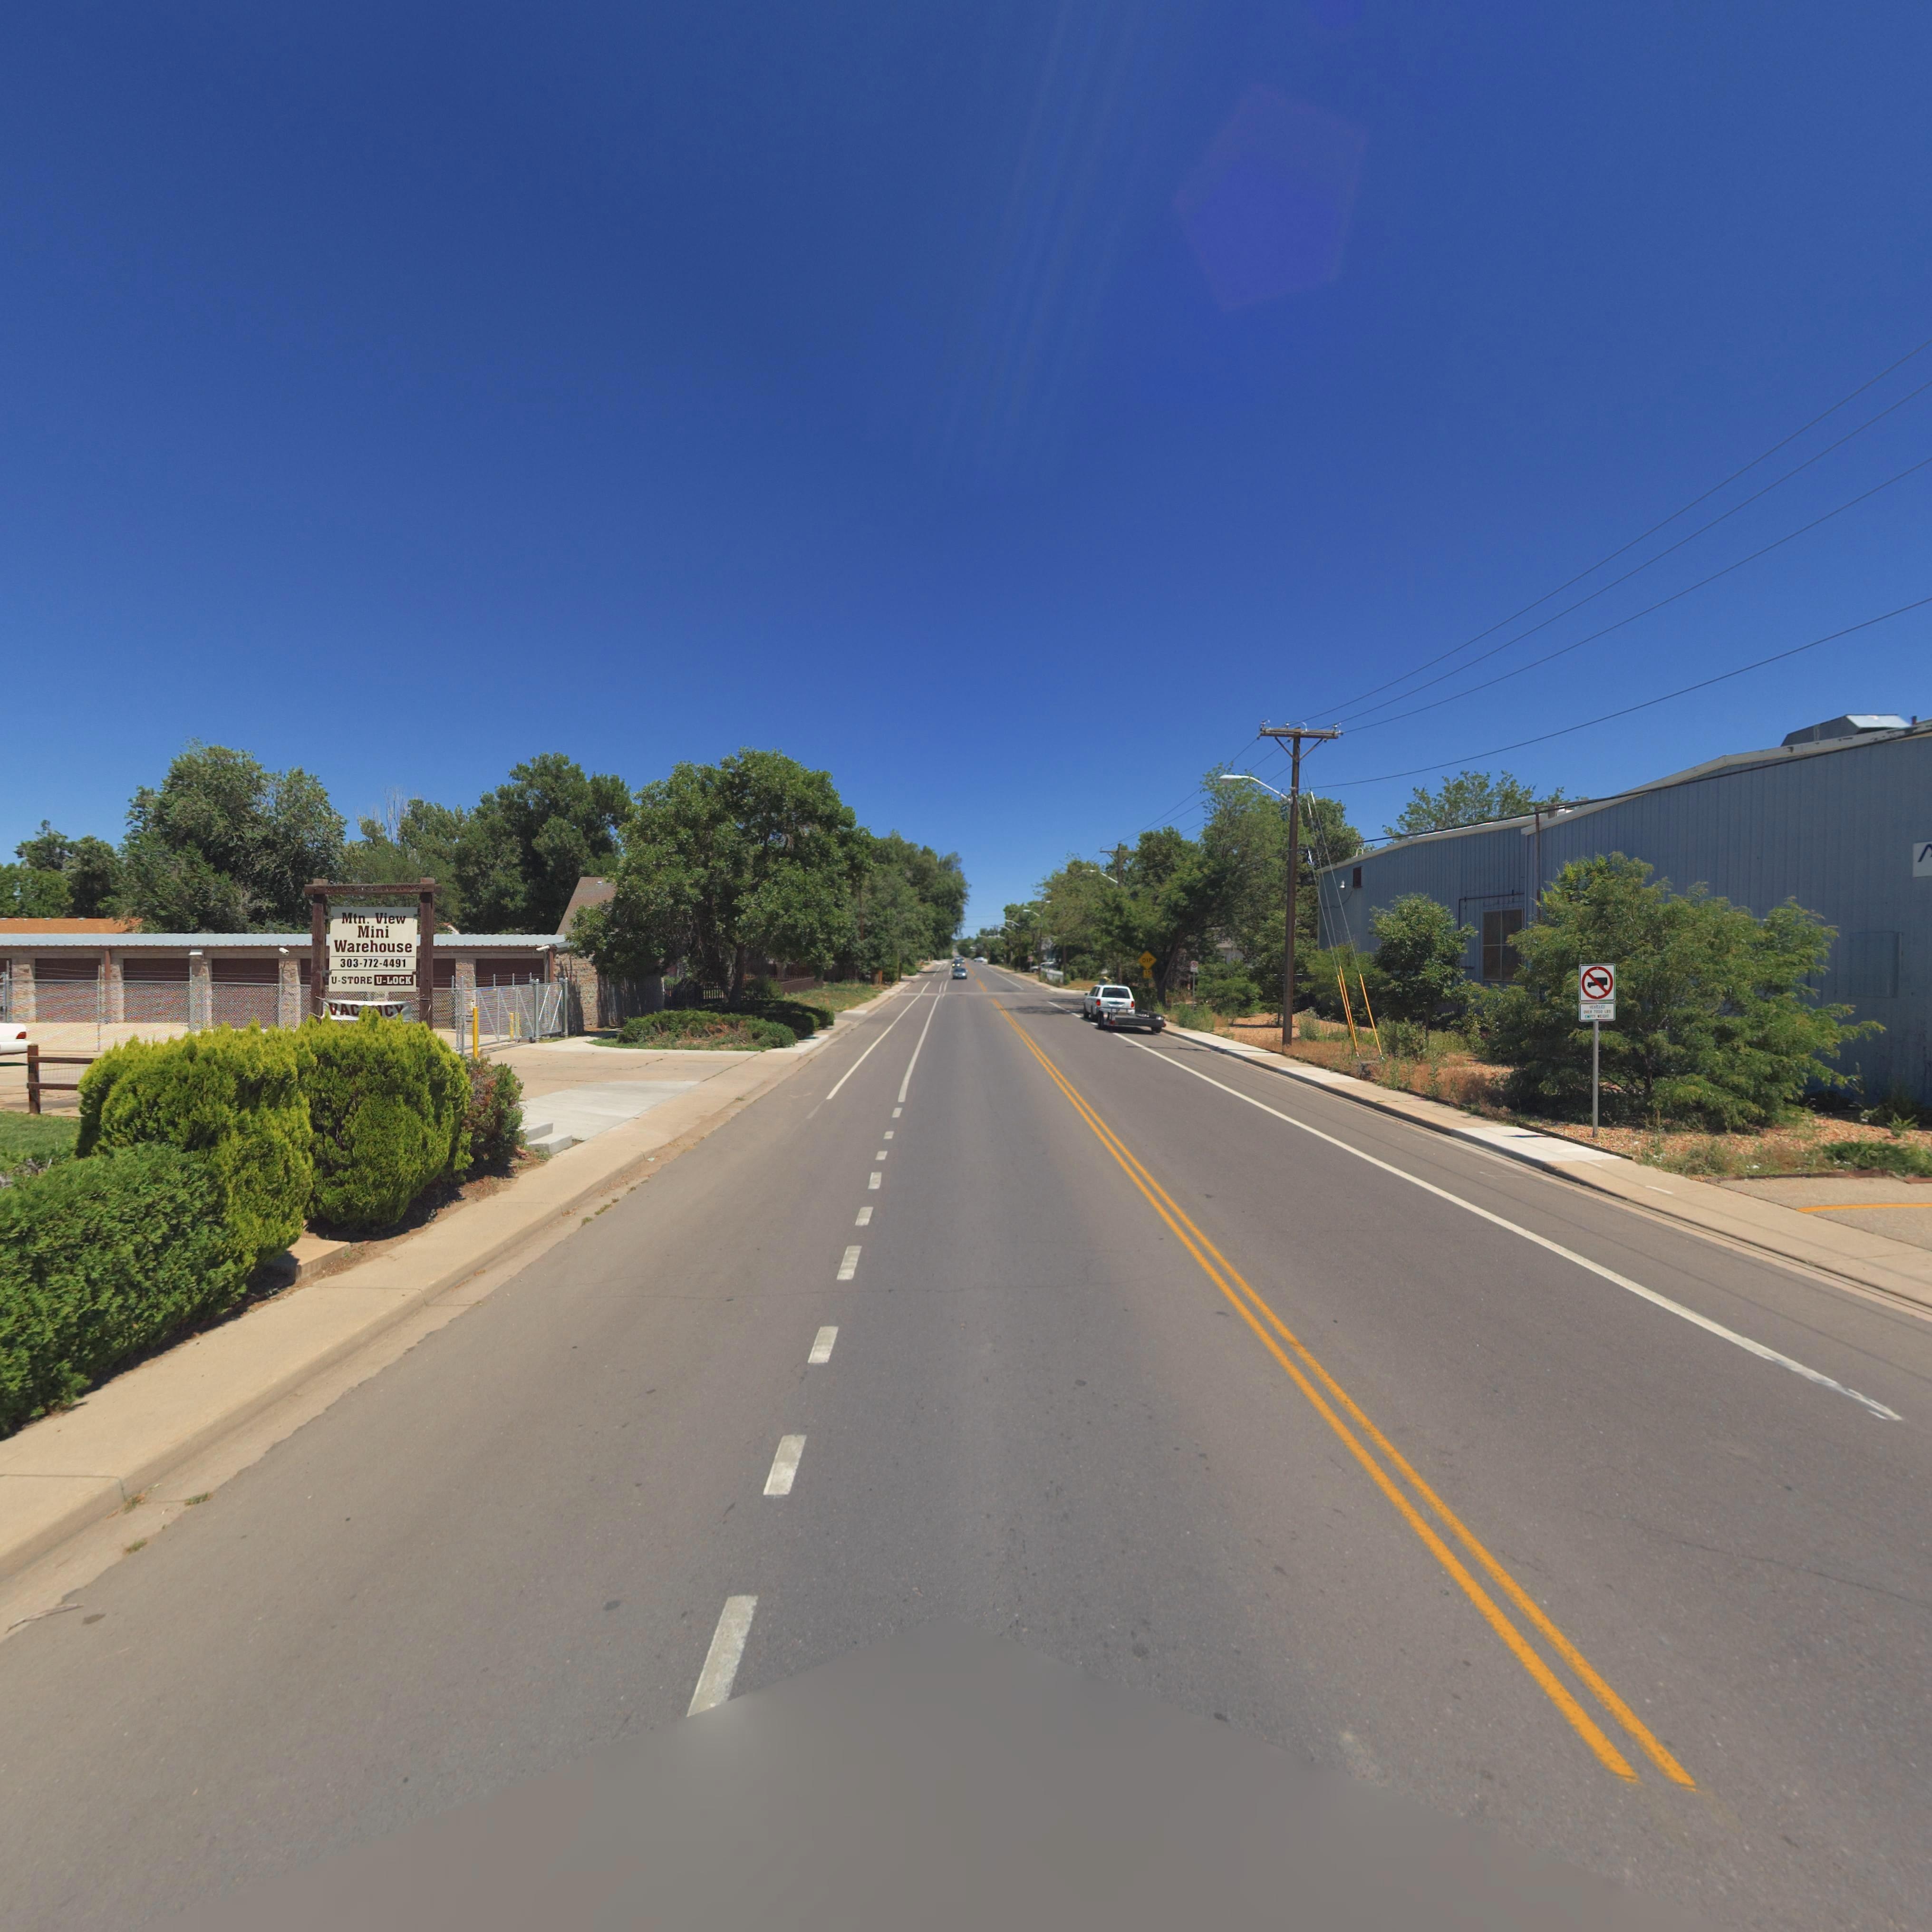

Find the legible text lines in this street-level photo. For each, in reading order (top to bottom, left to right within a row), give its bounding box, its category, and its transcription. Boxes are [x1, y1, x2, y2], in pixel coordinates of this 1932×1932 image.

[358, 885, 378, 891] StreetNumber: 440
[342, 912, 406, 924] BusinessName: Mtn. View
[357, 925, 389, 938] BusinessName: Mini
[334, 939, 412, 952] BusinessName: Warehouse